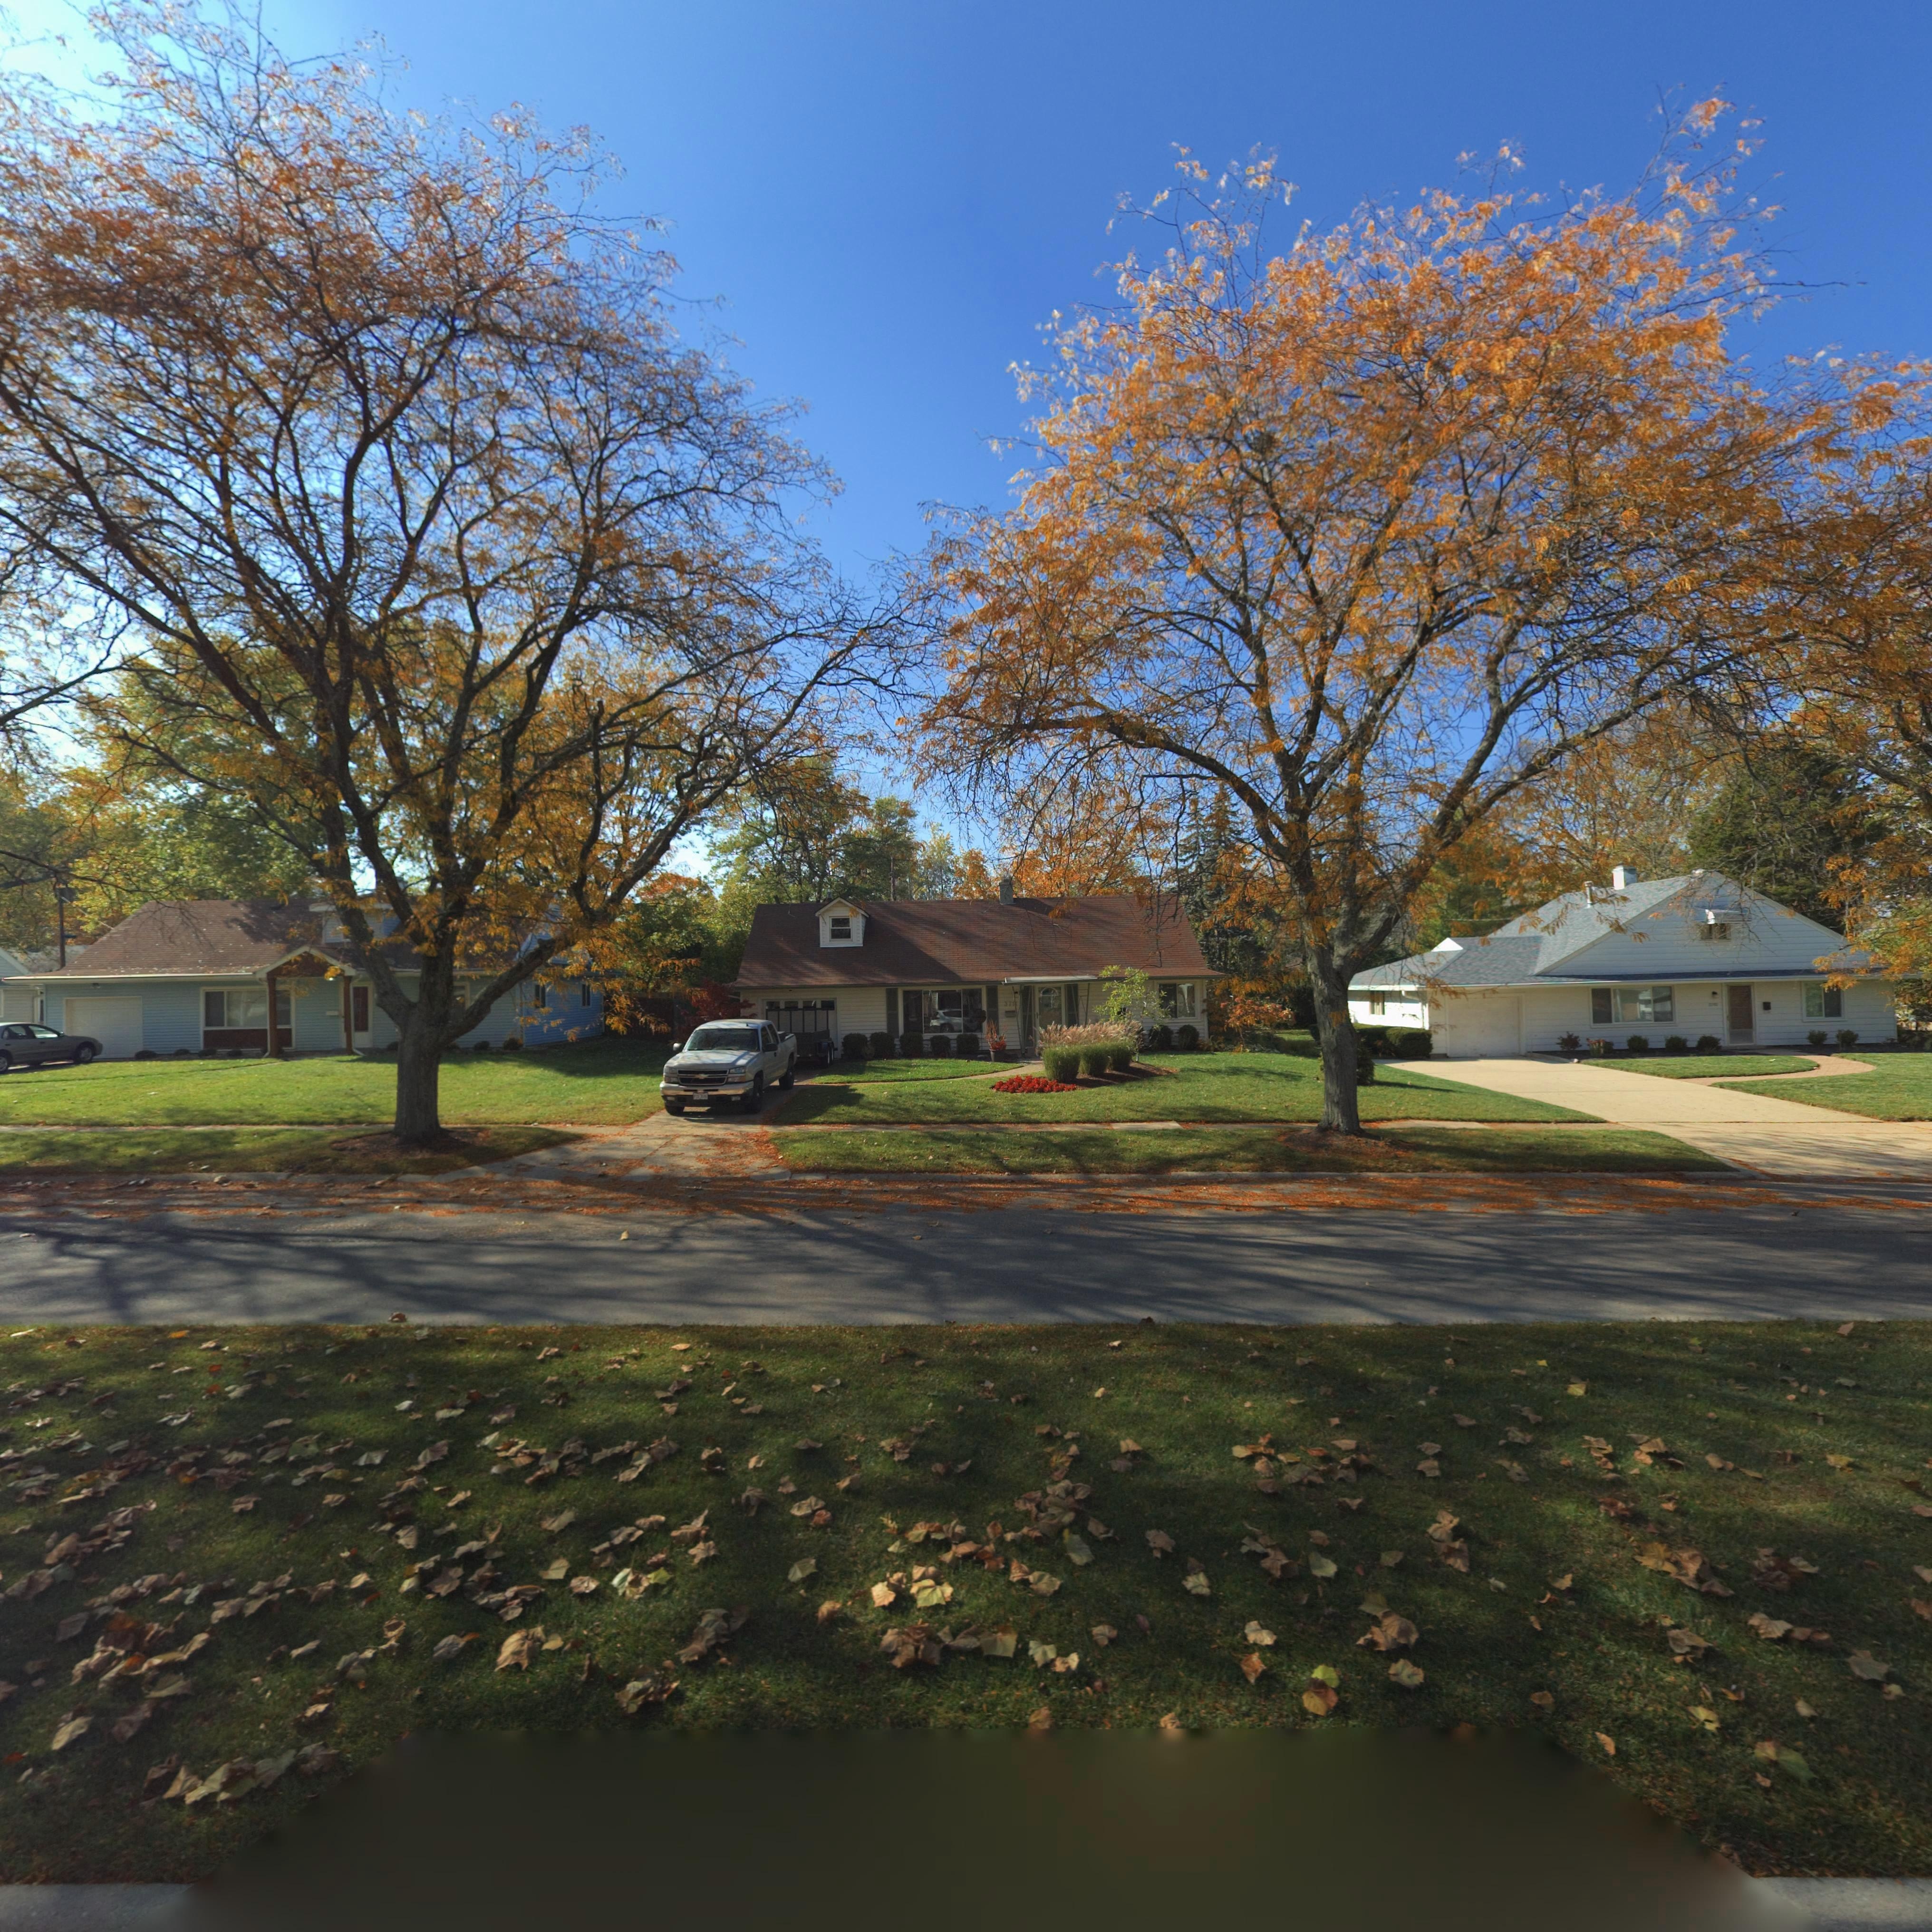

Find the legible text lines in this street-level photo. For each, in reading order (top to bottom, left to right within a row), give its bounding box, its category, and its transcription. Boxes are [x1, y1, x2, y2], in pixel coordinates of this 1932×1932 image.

[1003, 1000, 1013, 1007] StreetNumber: 37